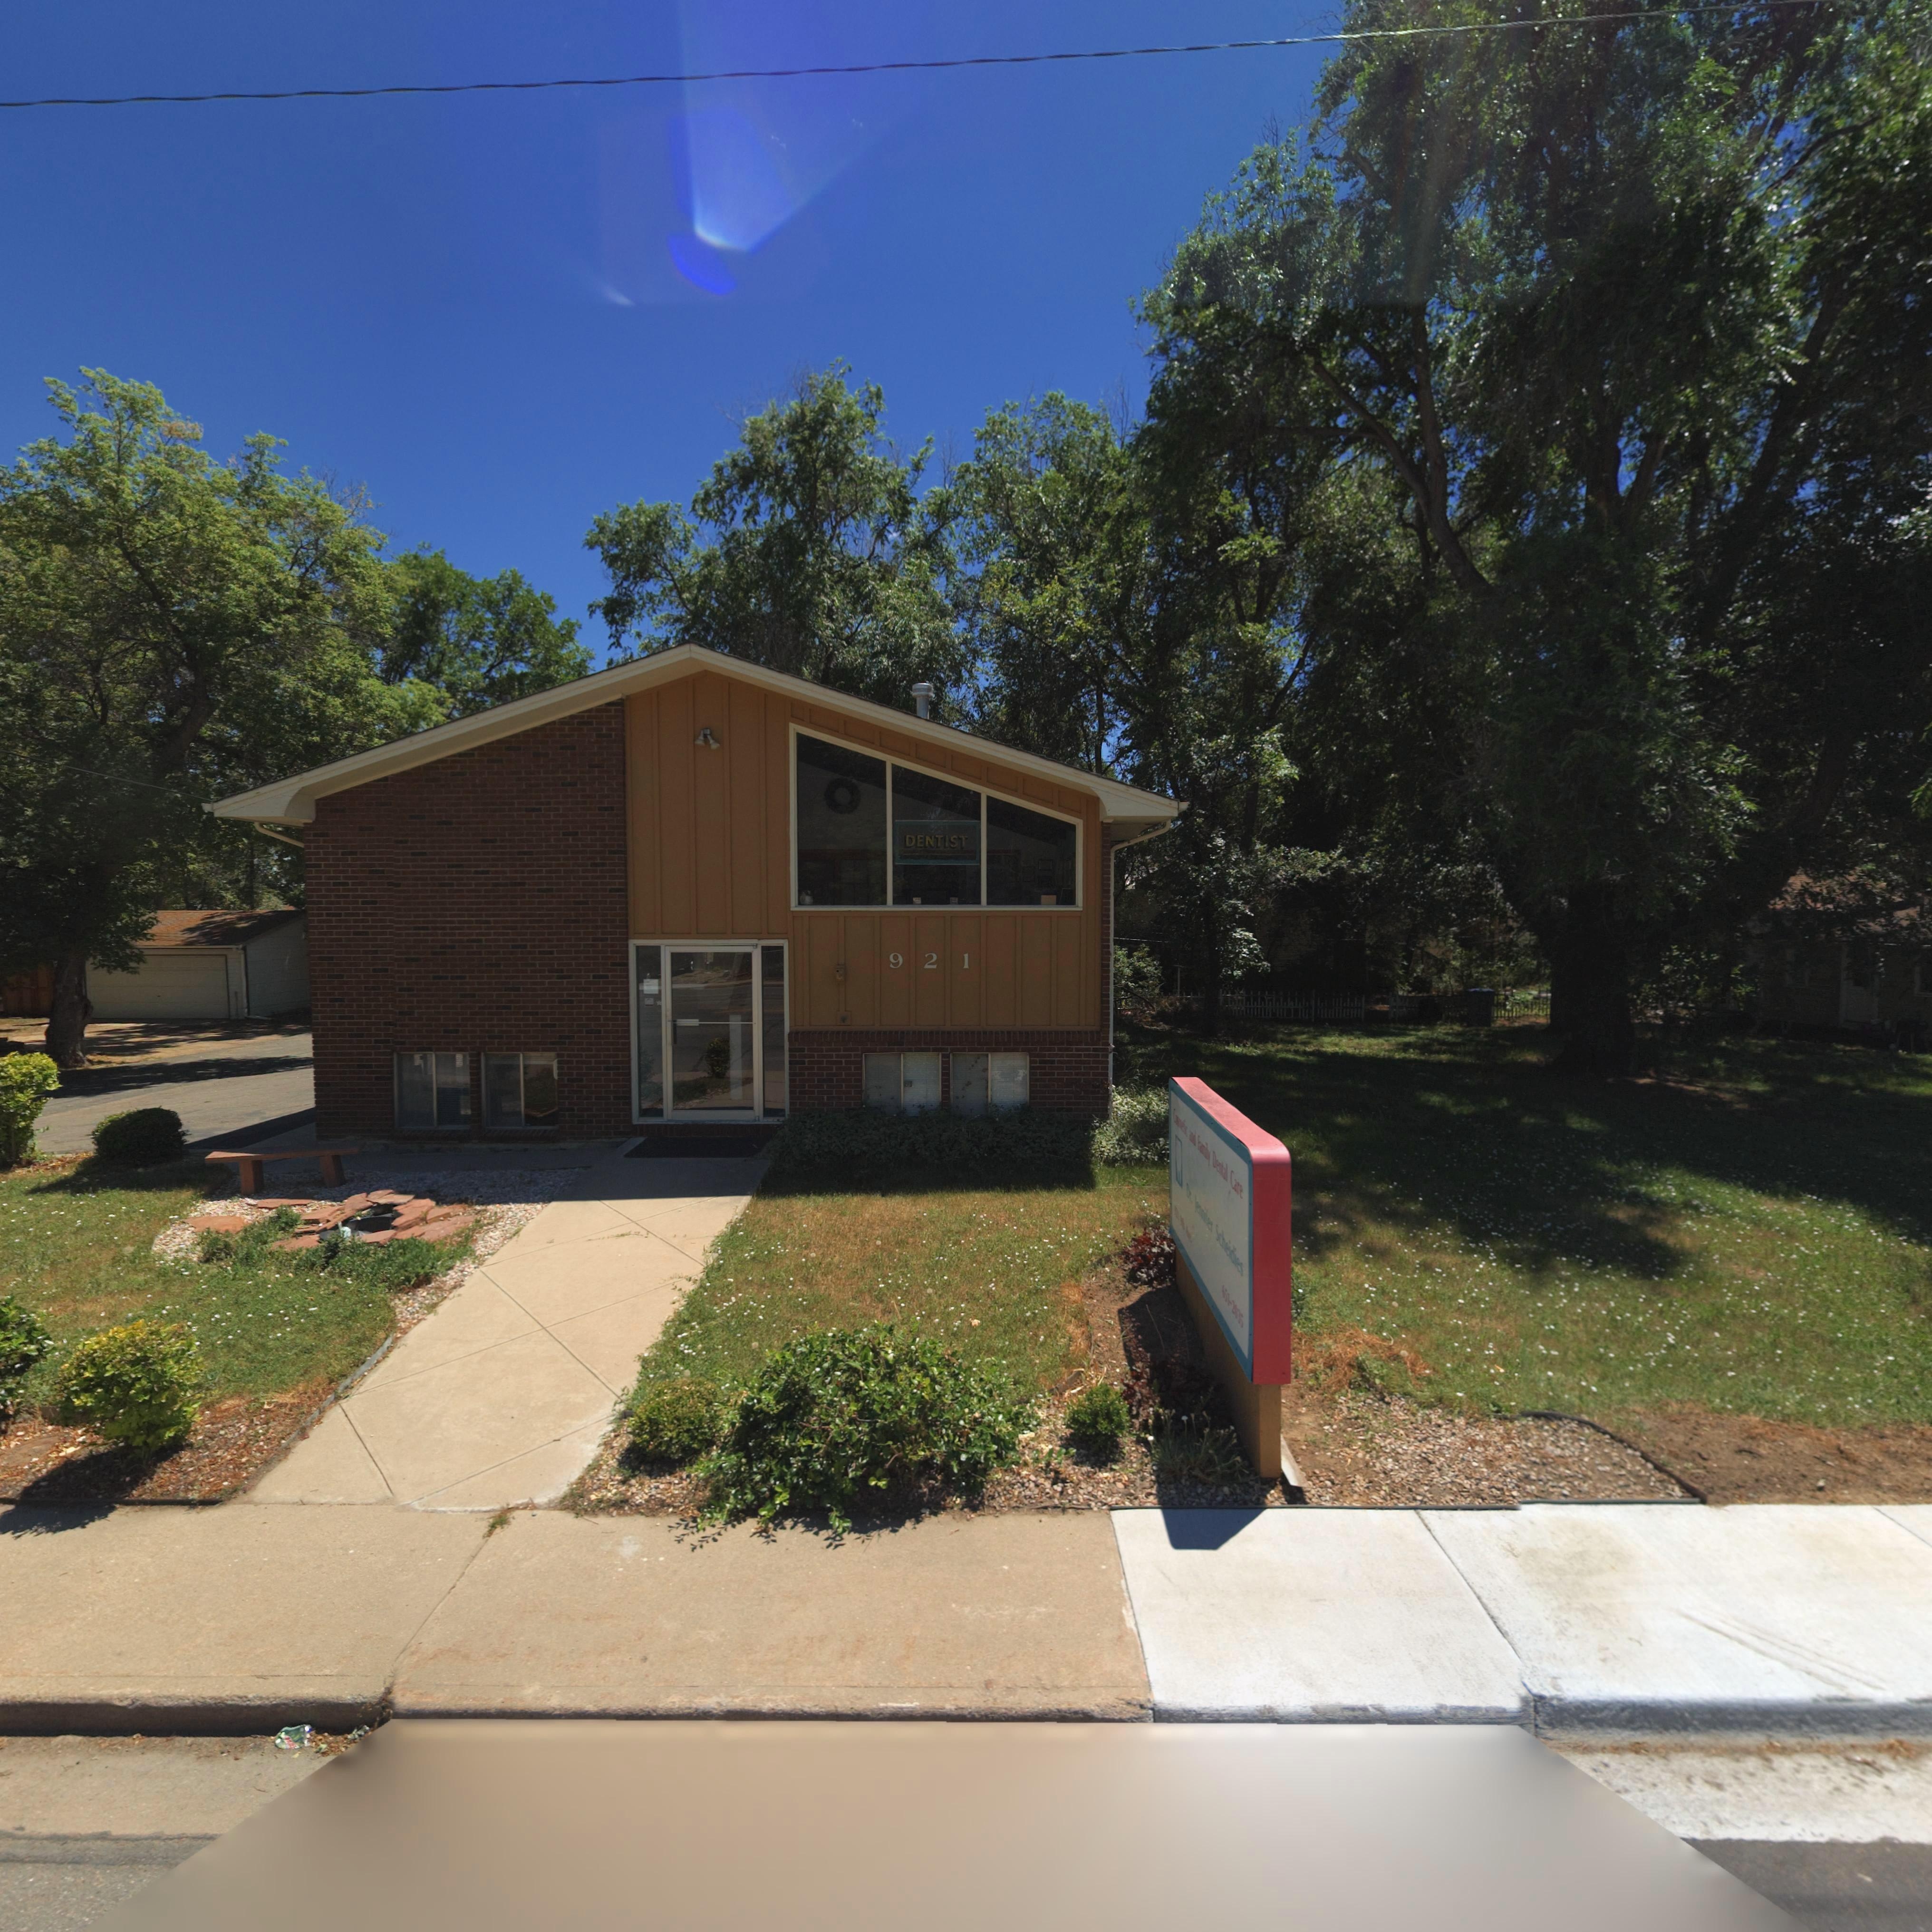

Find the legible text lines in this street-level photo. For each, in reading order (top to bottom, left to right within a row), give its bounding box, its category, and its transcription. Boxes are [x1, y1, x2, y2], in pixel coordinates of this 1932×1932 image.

[888, 951, 970, 969] StreetNumber: 921
[1174, 1204, 1179, 1221] StreetNumber: **1
[1179, 1214, 1192, 1244] StreetName: *** A**.
[1185, 1180, 1245, 1279] BusinessName: Dr. Jennifer Schneidies